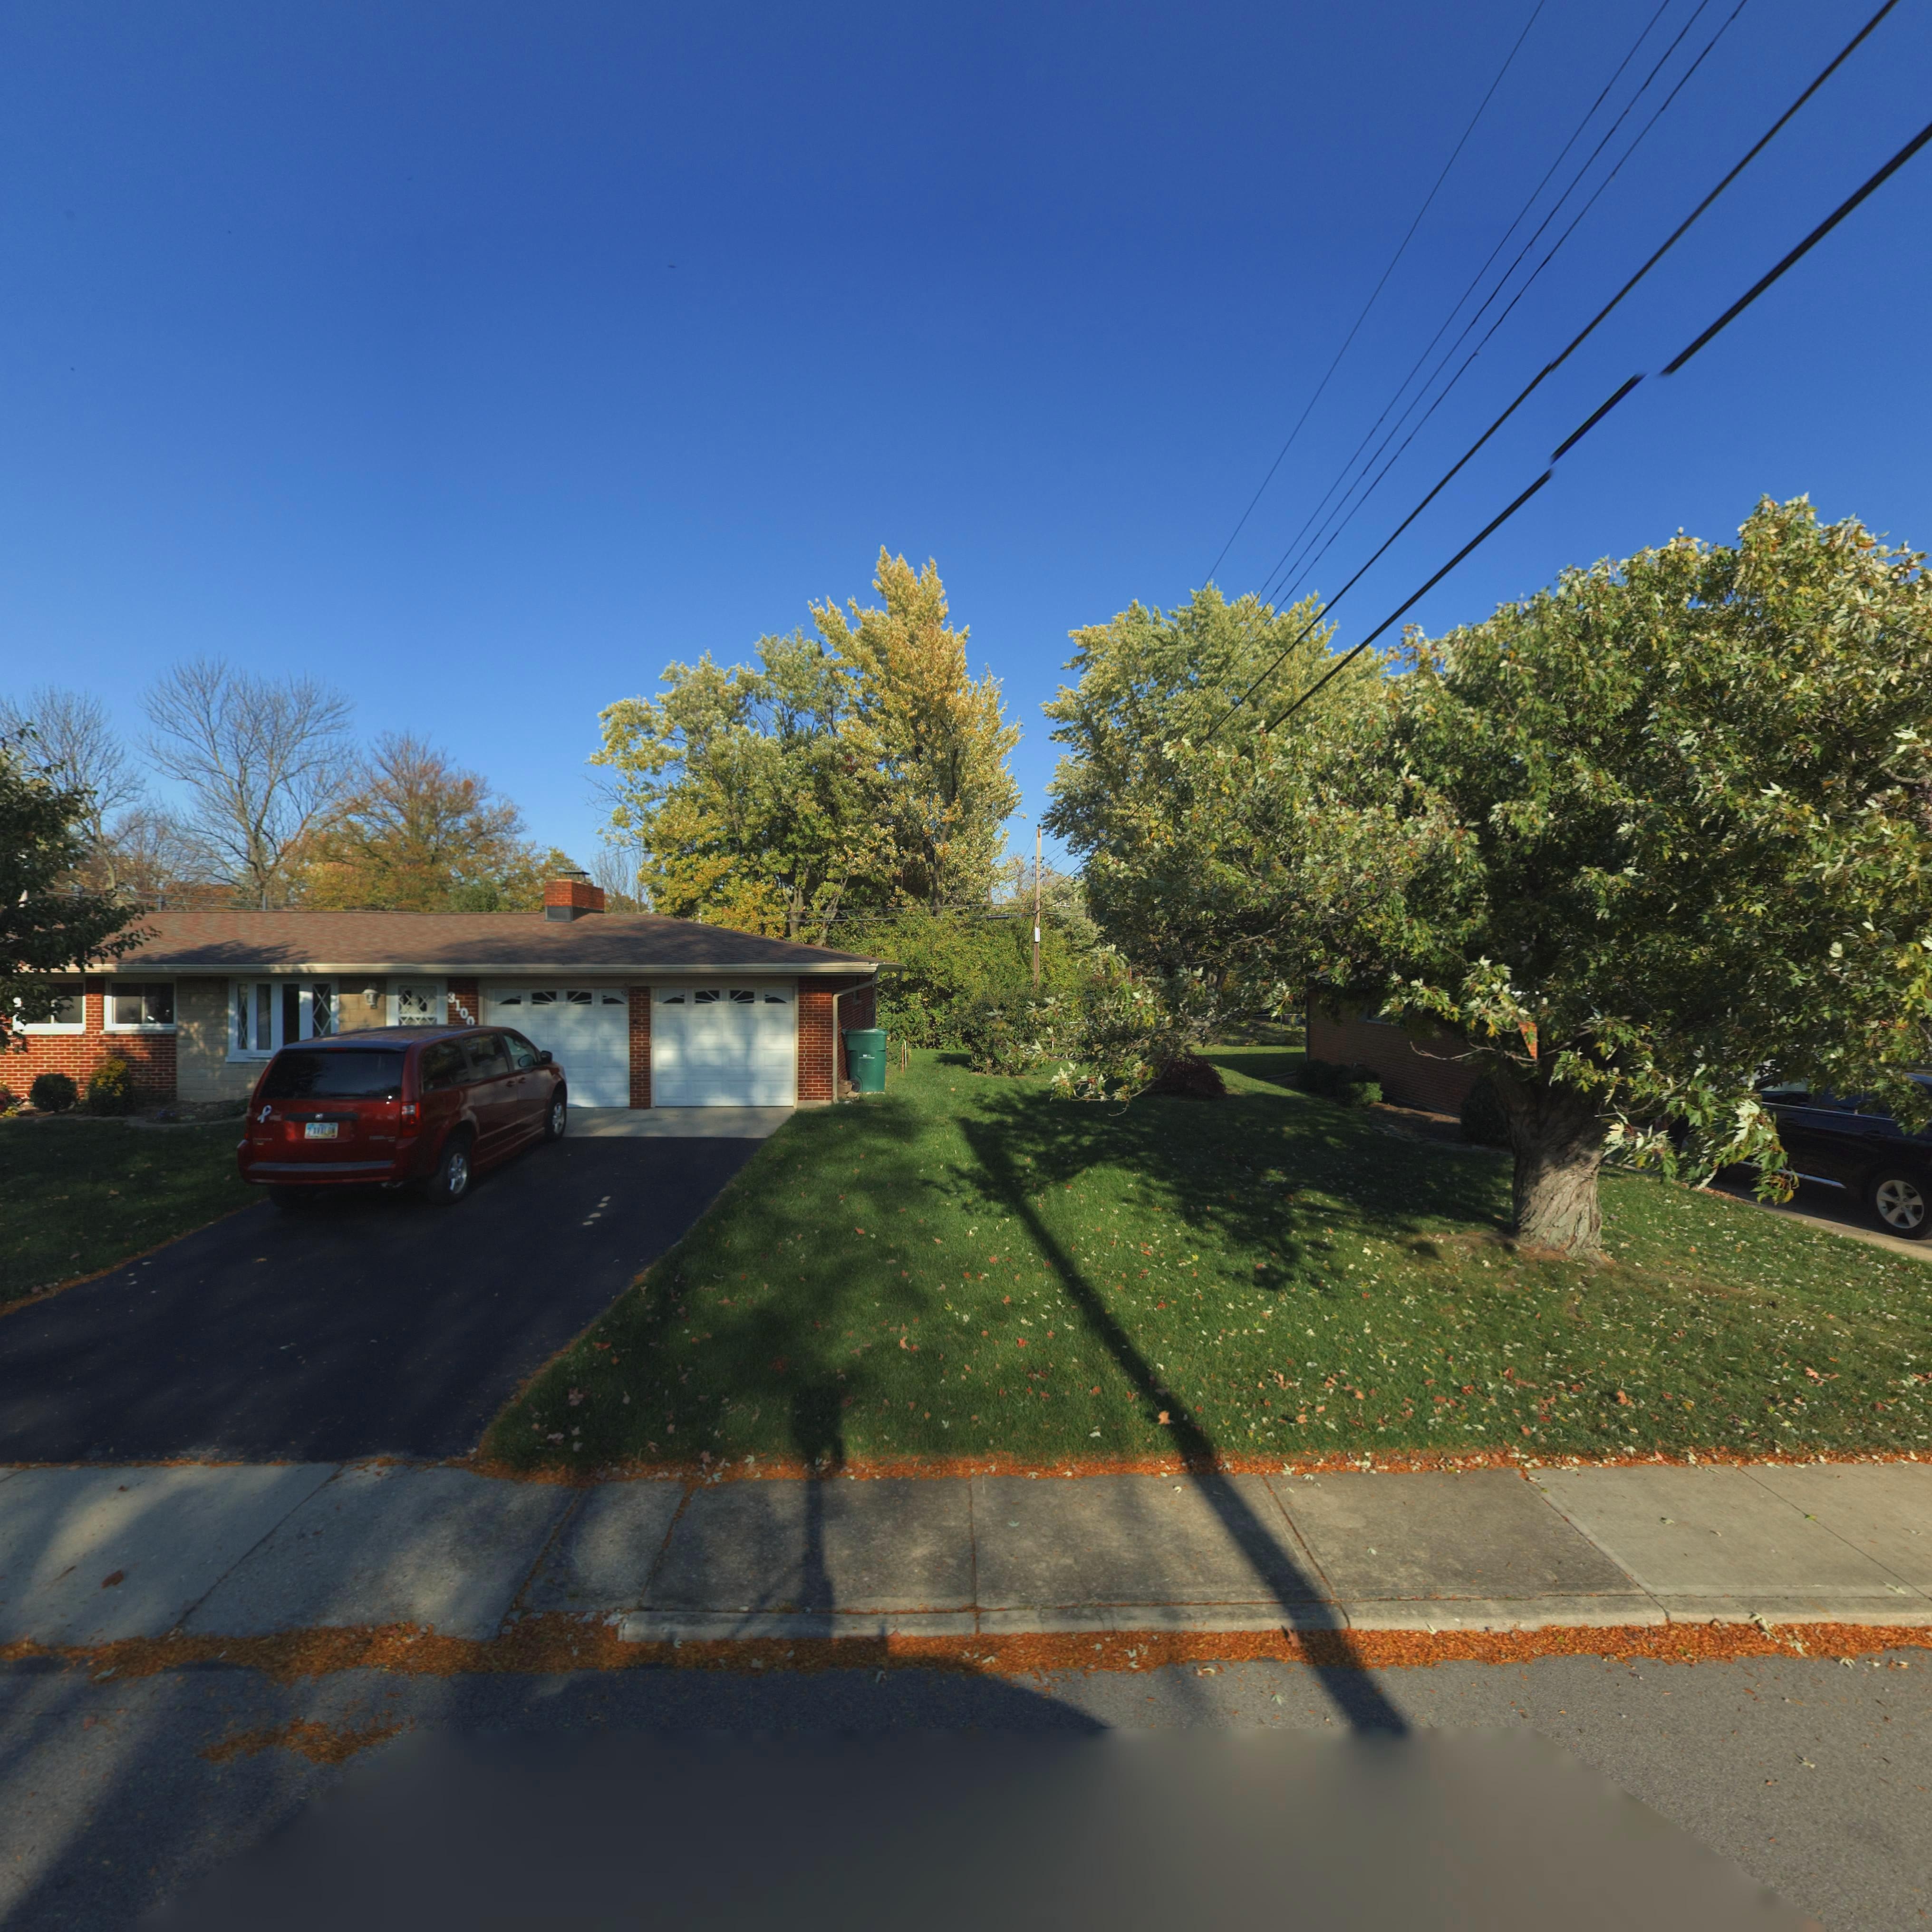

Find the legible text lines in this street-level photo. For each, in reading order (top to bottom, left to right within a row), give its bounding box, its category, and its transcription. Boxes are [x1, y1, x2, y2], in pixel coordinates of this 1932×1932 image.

[447, 990, 475, 1026] StreetNumber: 3100